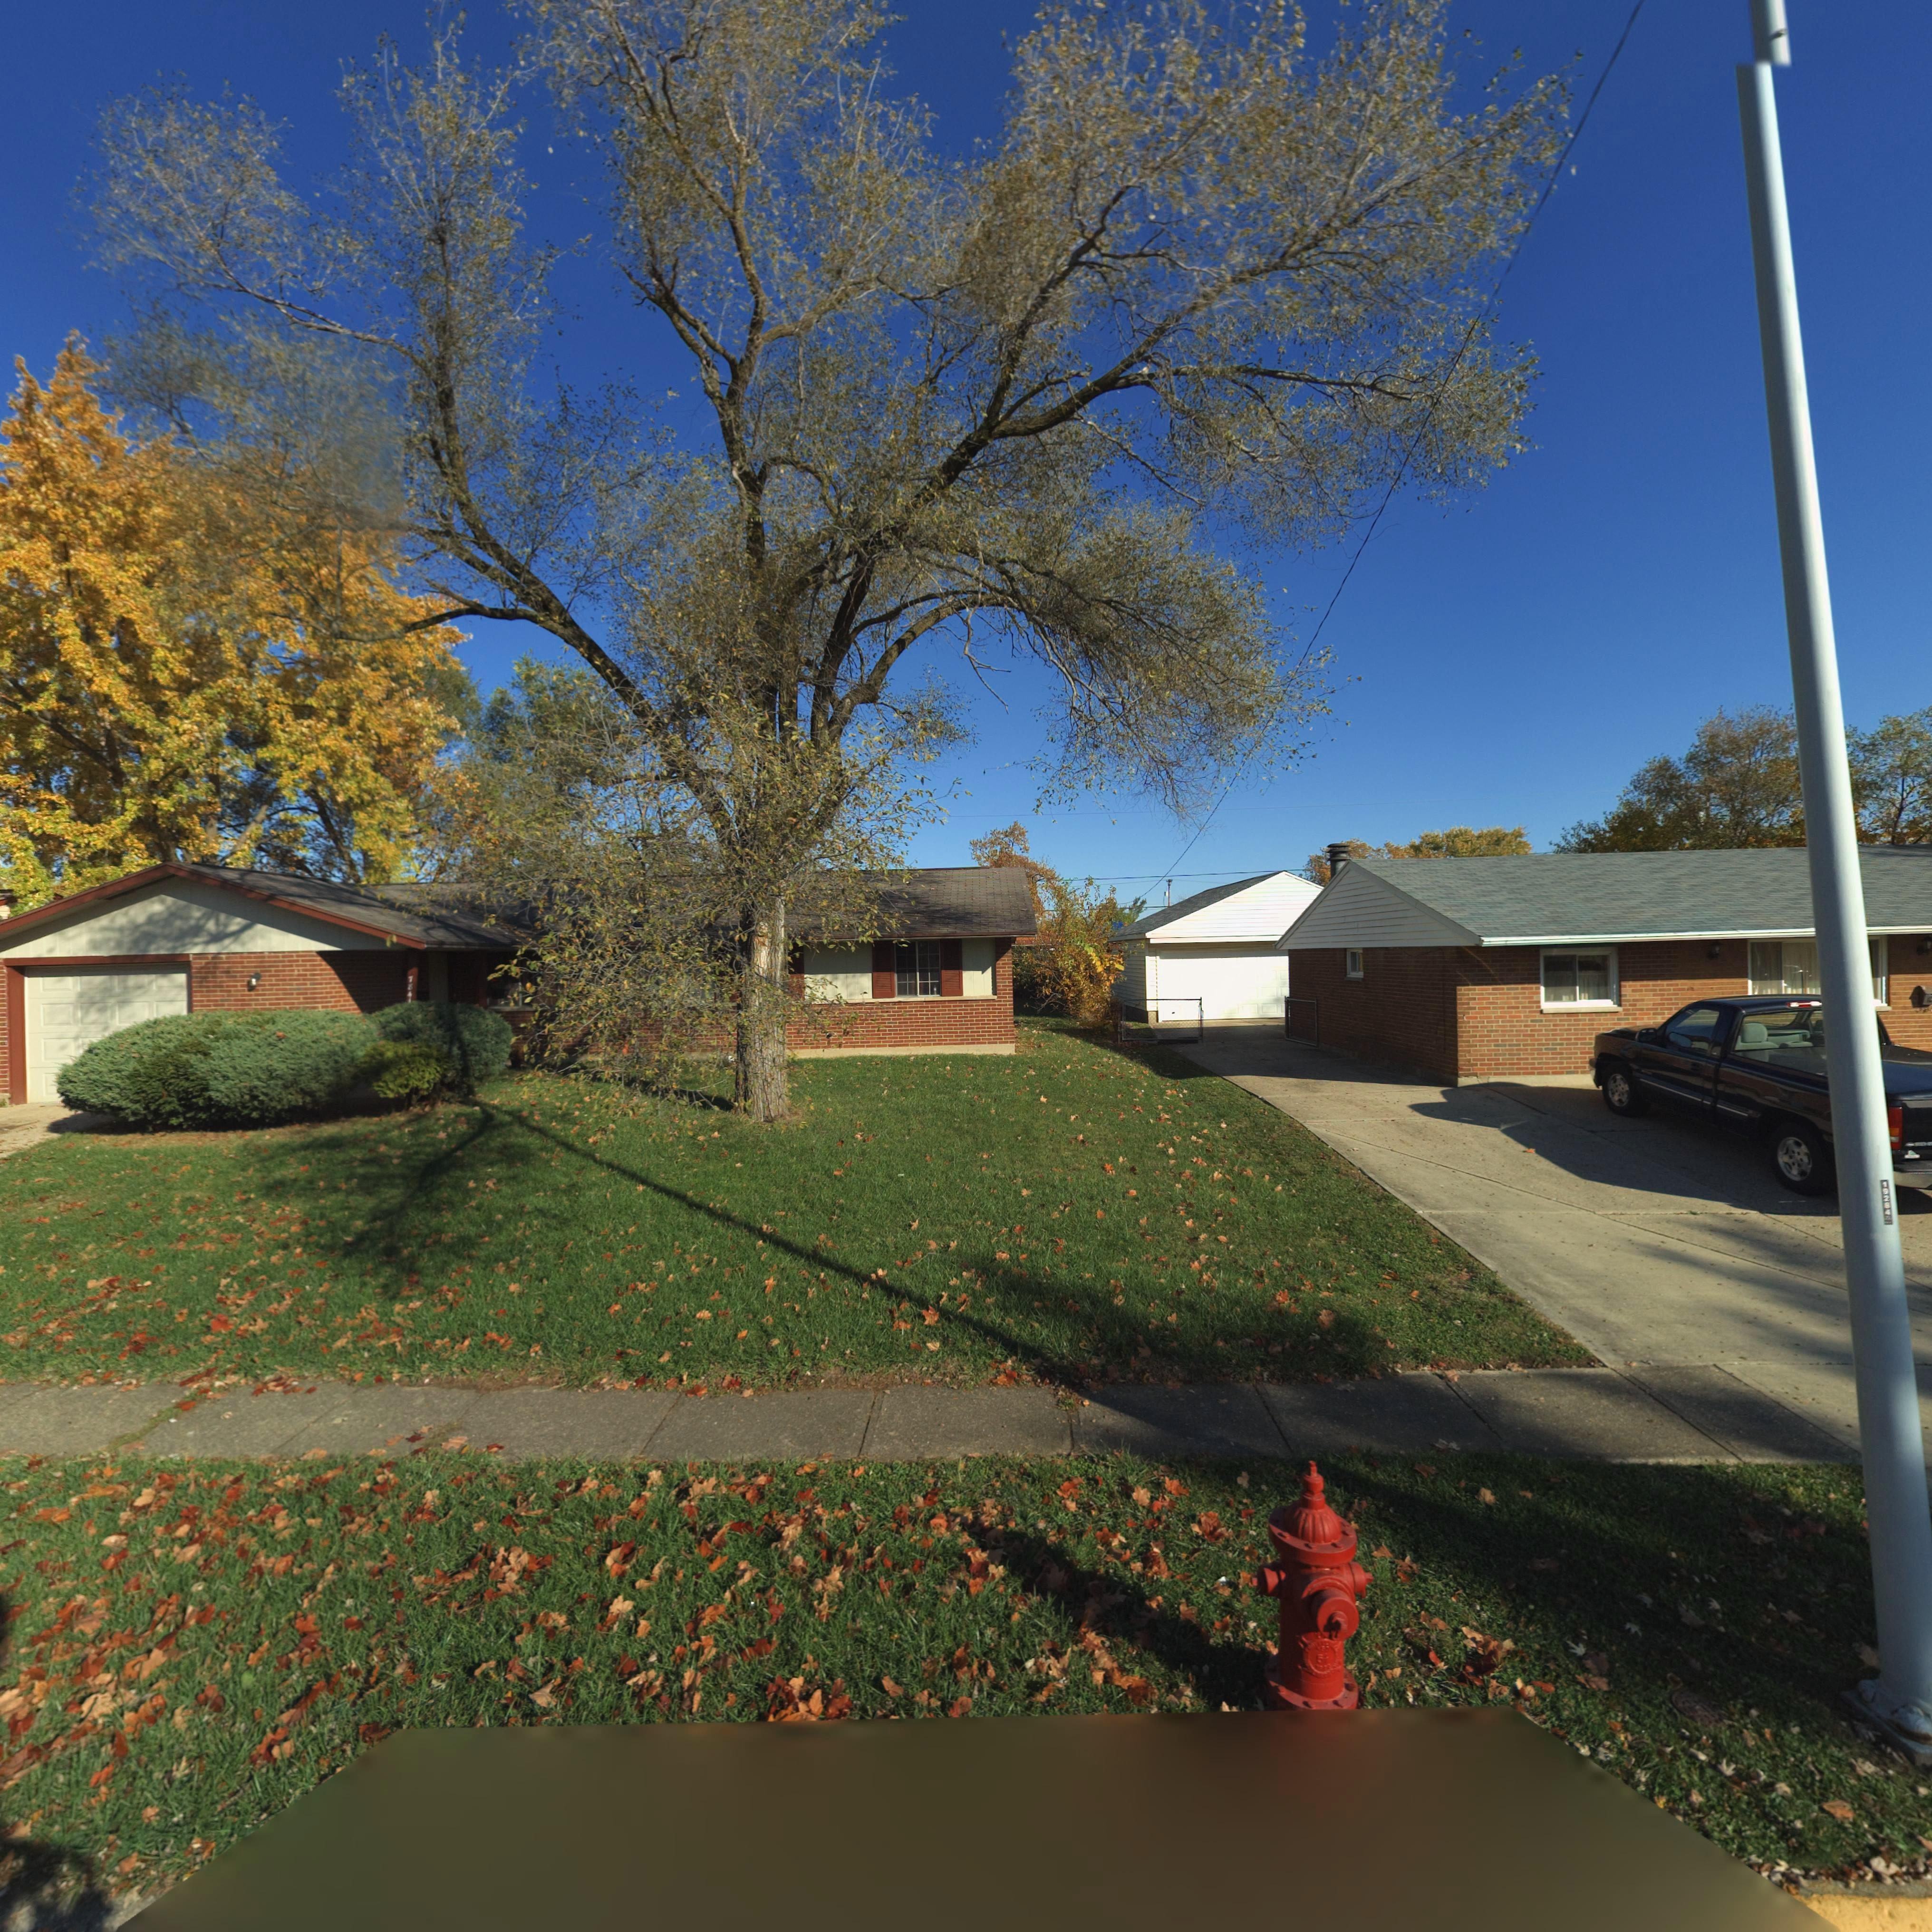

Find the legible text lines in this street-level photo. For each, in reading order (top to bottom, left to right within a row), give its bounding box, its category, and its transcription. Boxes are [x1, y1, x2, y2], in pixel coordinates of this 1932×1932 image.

[406, 975, 414, 1004] StreetNumber: 7841